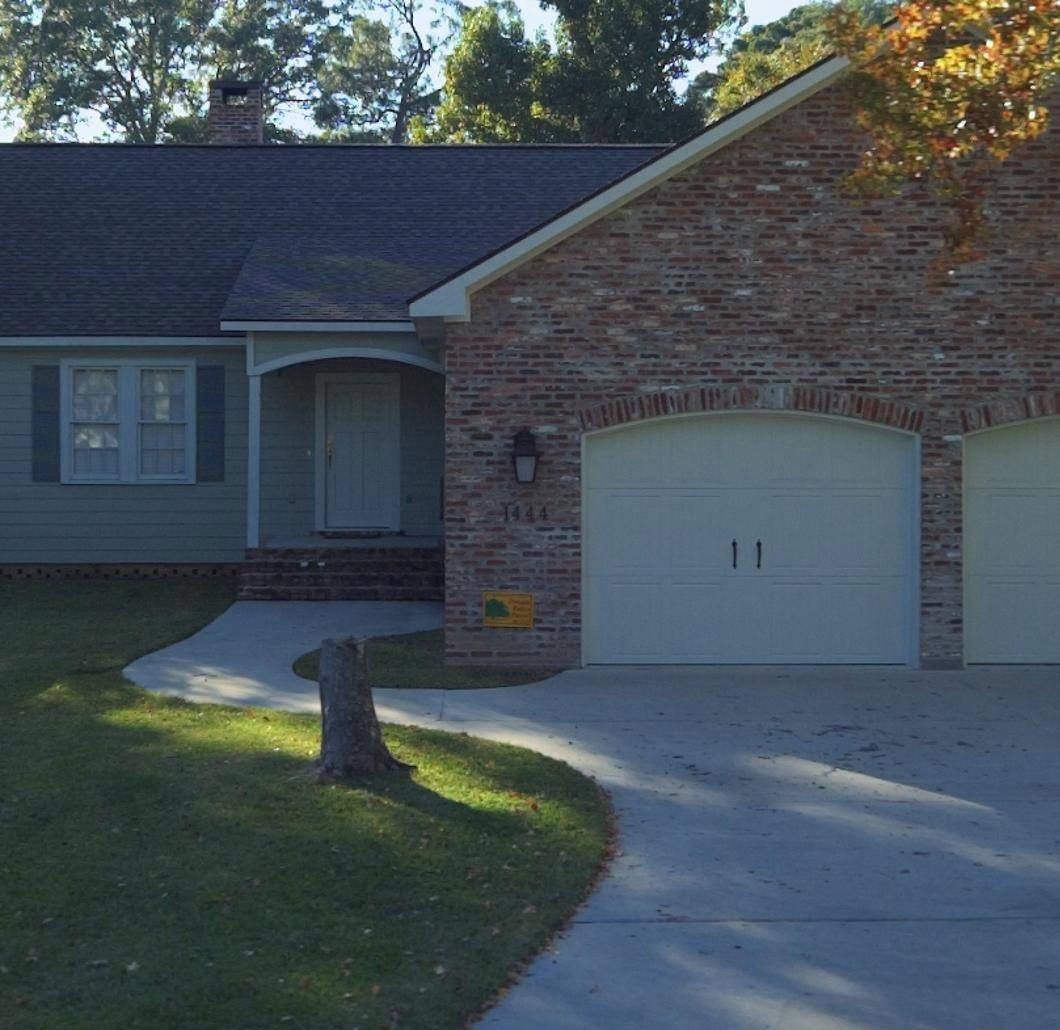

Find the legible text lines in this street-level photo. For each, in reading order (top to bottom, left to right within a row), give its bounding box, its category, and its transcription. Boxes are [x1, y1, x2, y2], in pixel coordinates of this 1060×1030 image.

[501, 503, 551, 523] StreetNumber: 1444